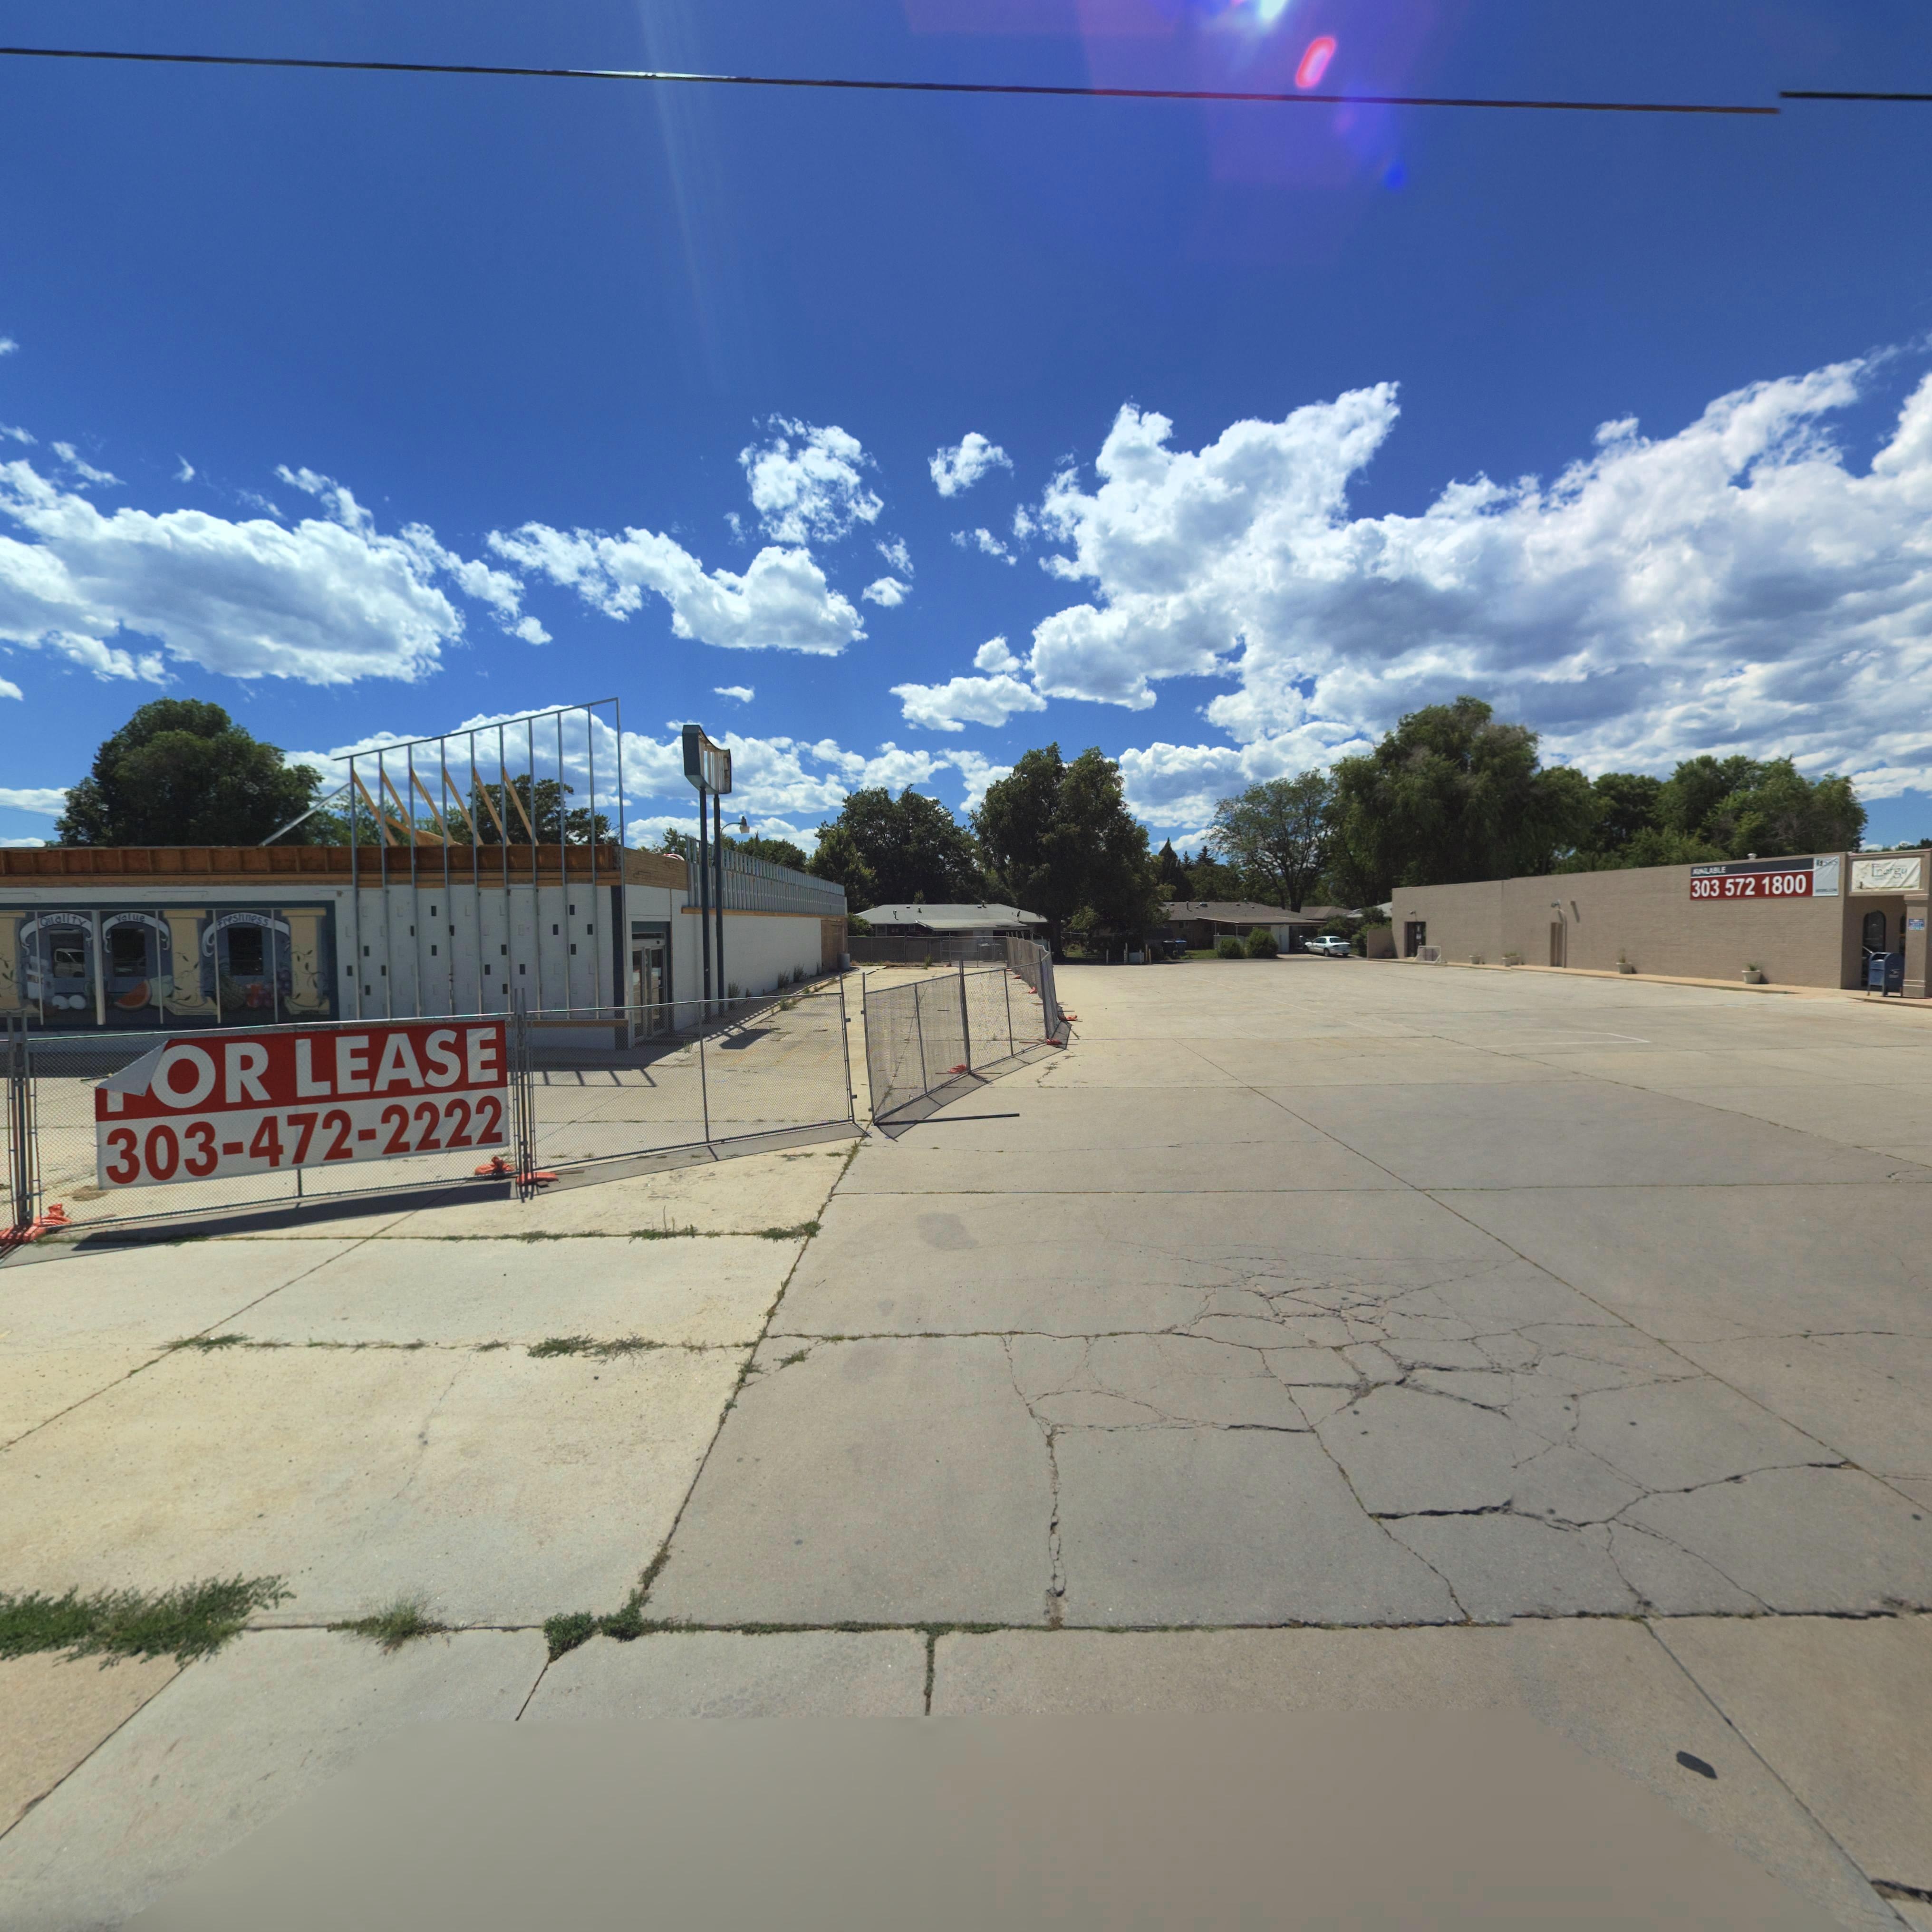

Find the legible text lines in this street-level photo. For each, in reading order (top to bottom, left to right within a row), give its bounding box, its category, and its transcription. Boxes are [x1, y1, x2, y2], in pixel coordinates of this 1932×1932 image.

[1870, 861, 1908, 880] BusinessName: Energy